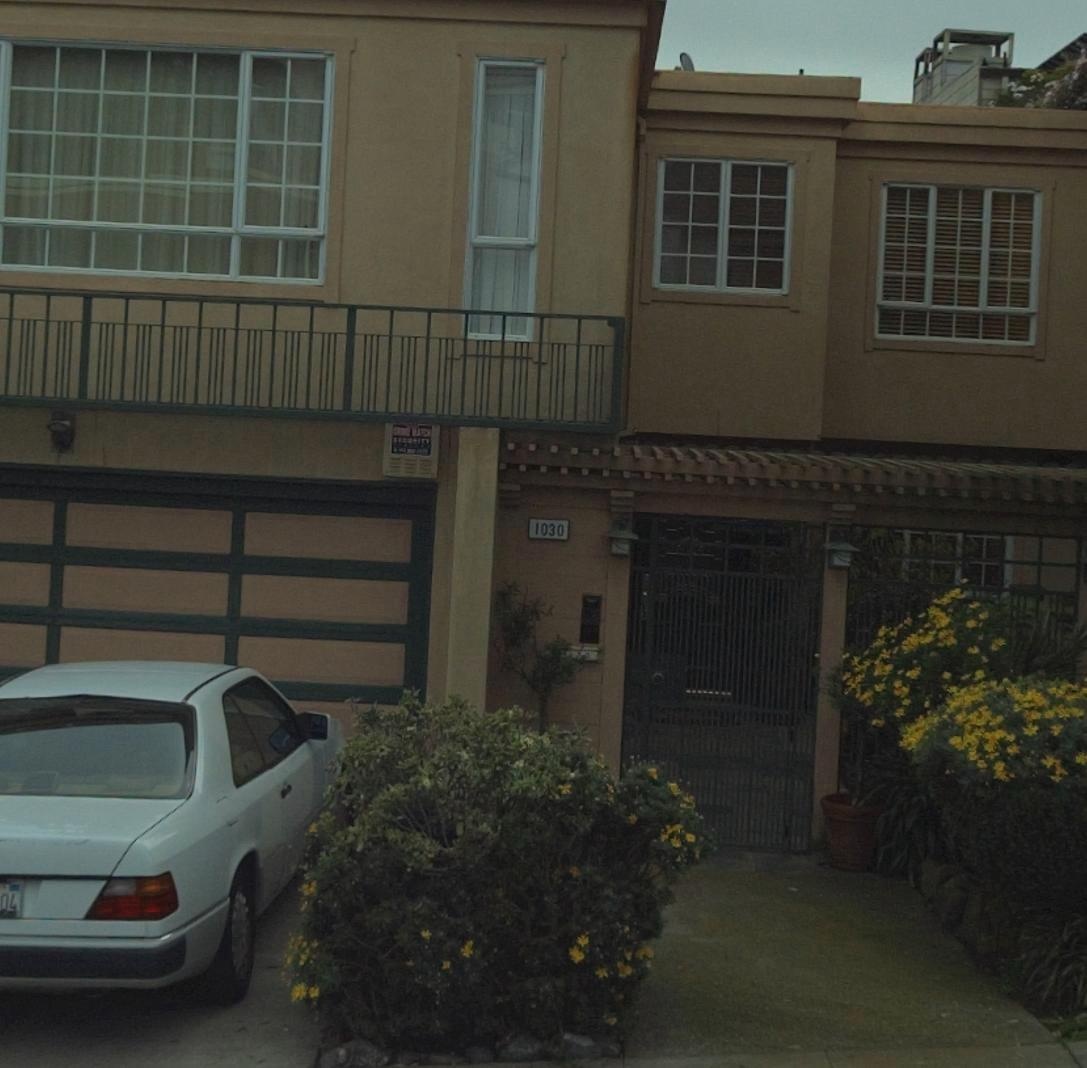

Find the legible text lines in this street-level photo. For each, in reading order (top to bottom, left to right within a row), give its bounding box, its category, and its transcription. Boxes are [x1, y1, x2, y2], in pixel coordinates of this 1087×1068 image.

[393, 436, 430, 445] None: SECURITY
[411, 426, 432, 438] None: WATCH
[533, 521, 566, 538] StreetNumber: 1030
[0, 891, 19, 913] None: 04